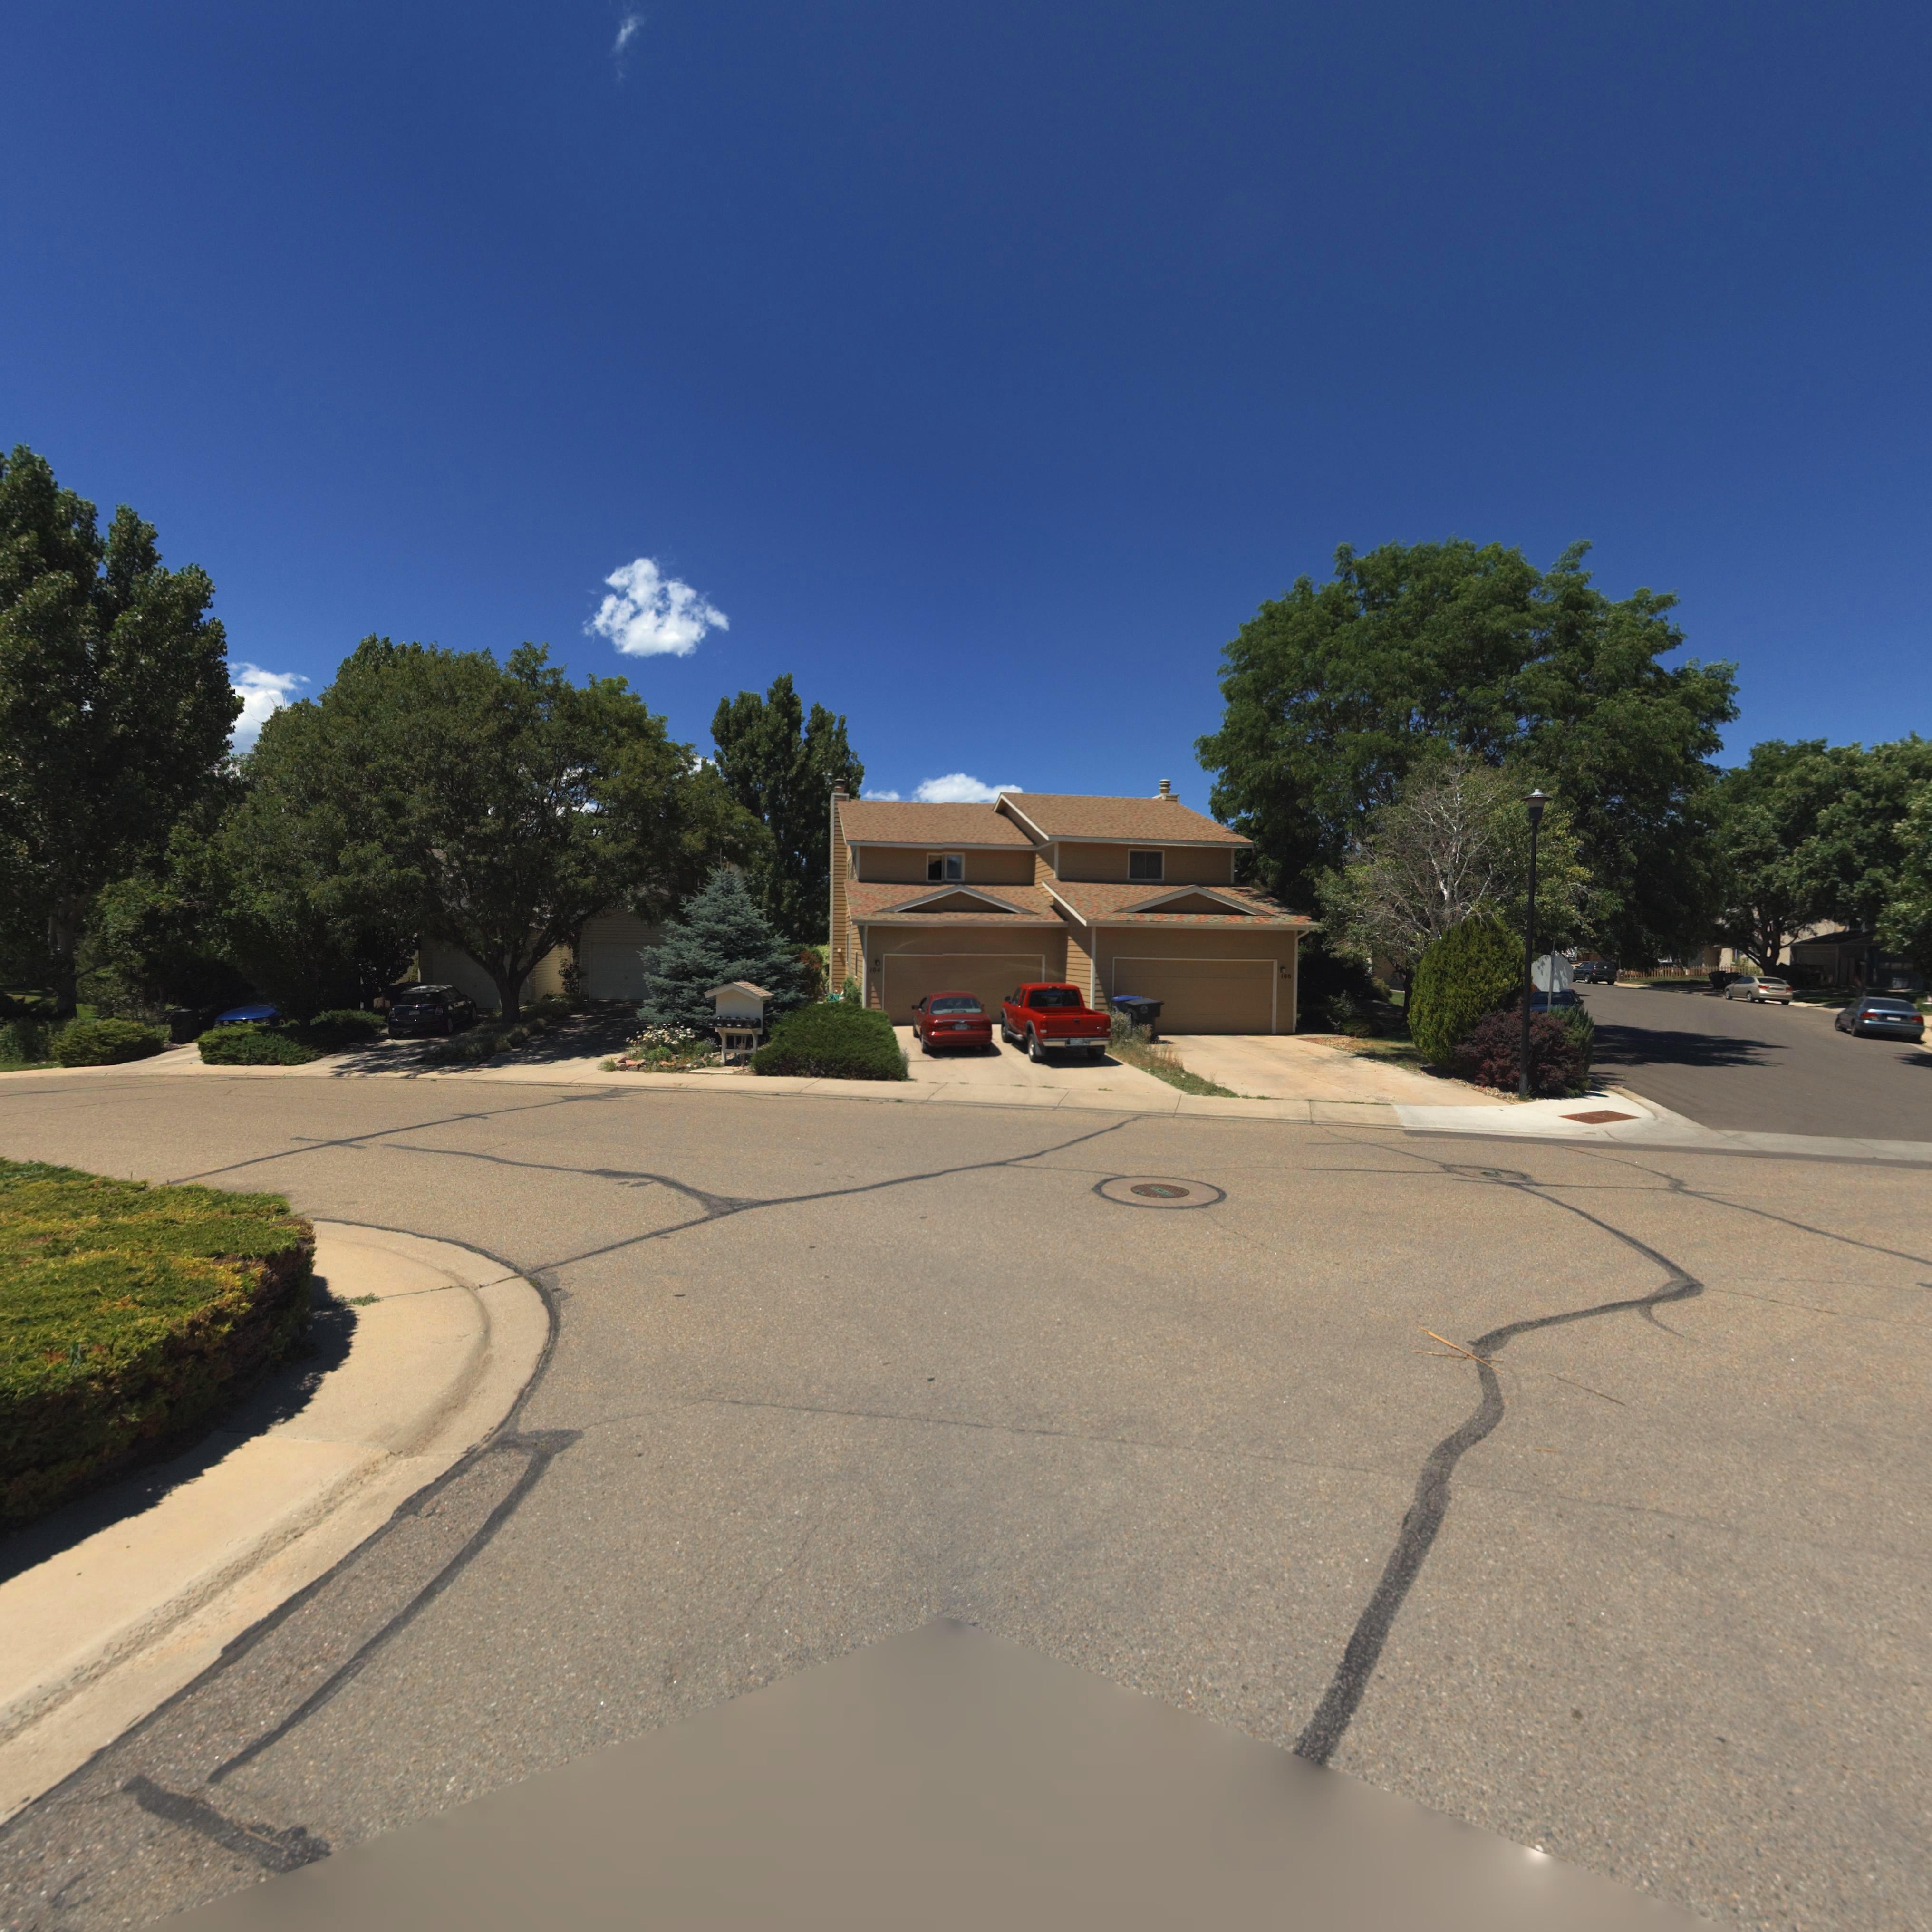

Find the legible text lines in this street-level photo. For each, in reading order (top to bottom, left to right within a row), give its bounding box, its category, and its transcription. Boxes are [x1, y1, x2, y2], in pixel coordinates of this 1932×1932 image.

[870, 967, 880, 973] StreetNumber: 104
[1281, 974, 1291, 979] StreetNumber: 100